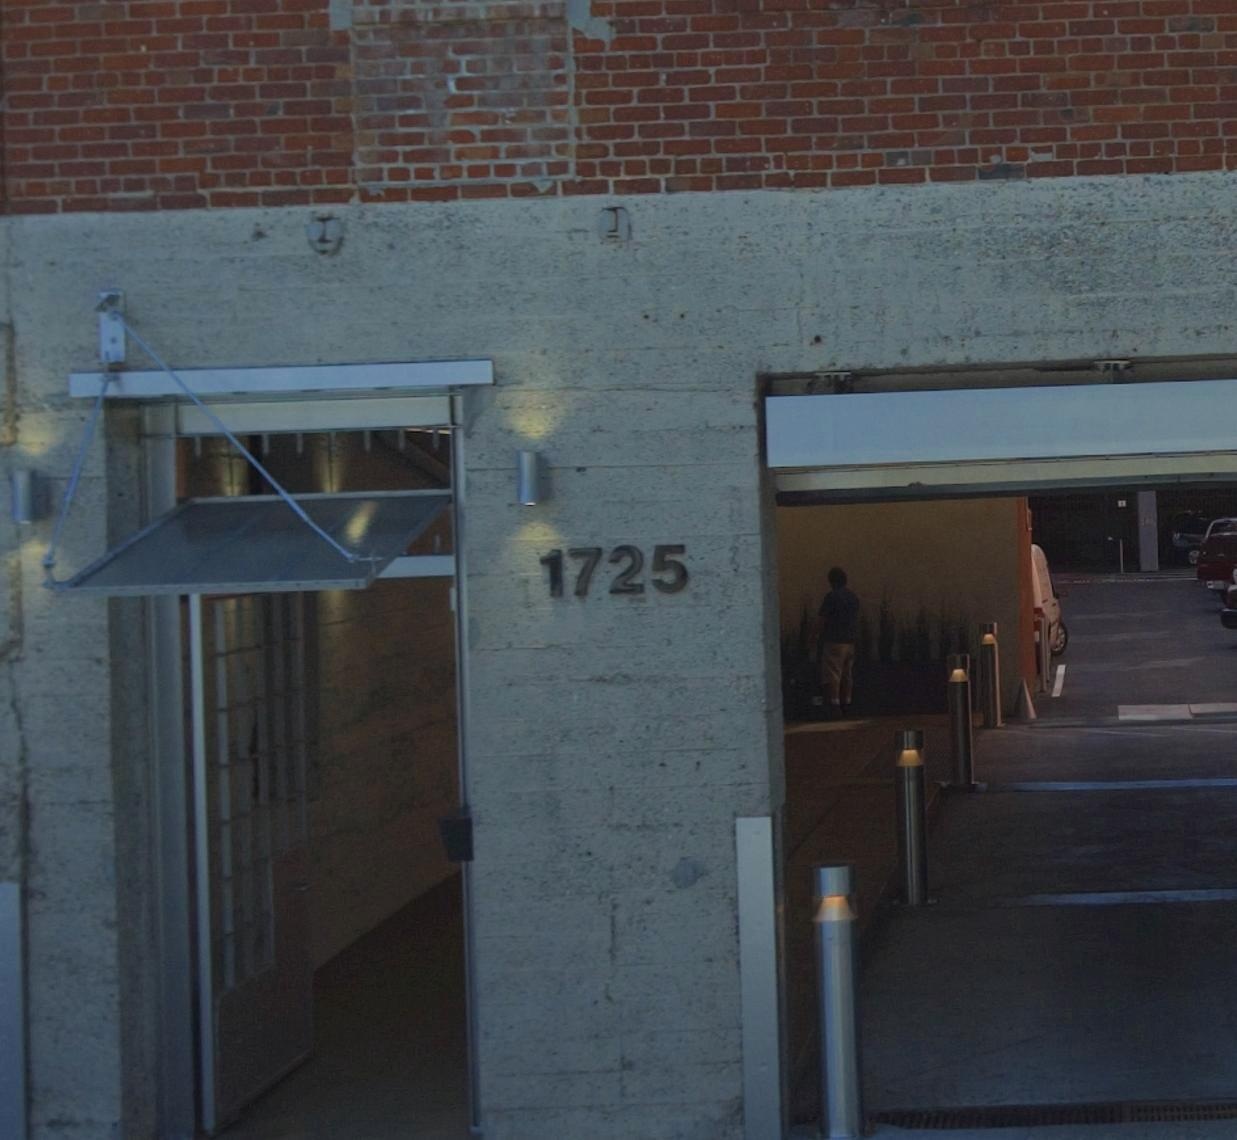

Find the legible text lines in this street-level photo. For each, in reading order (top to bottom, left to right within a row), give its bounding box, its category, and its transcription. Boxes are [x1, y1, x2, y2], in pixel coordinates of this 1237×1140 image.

[535, 542, 691, 601] StreetNumber: 1725